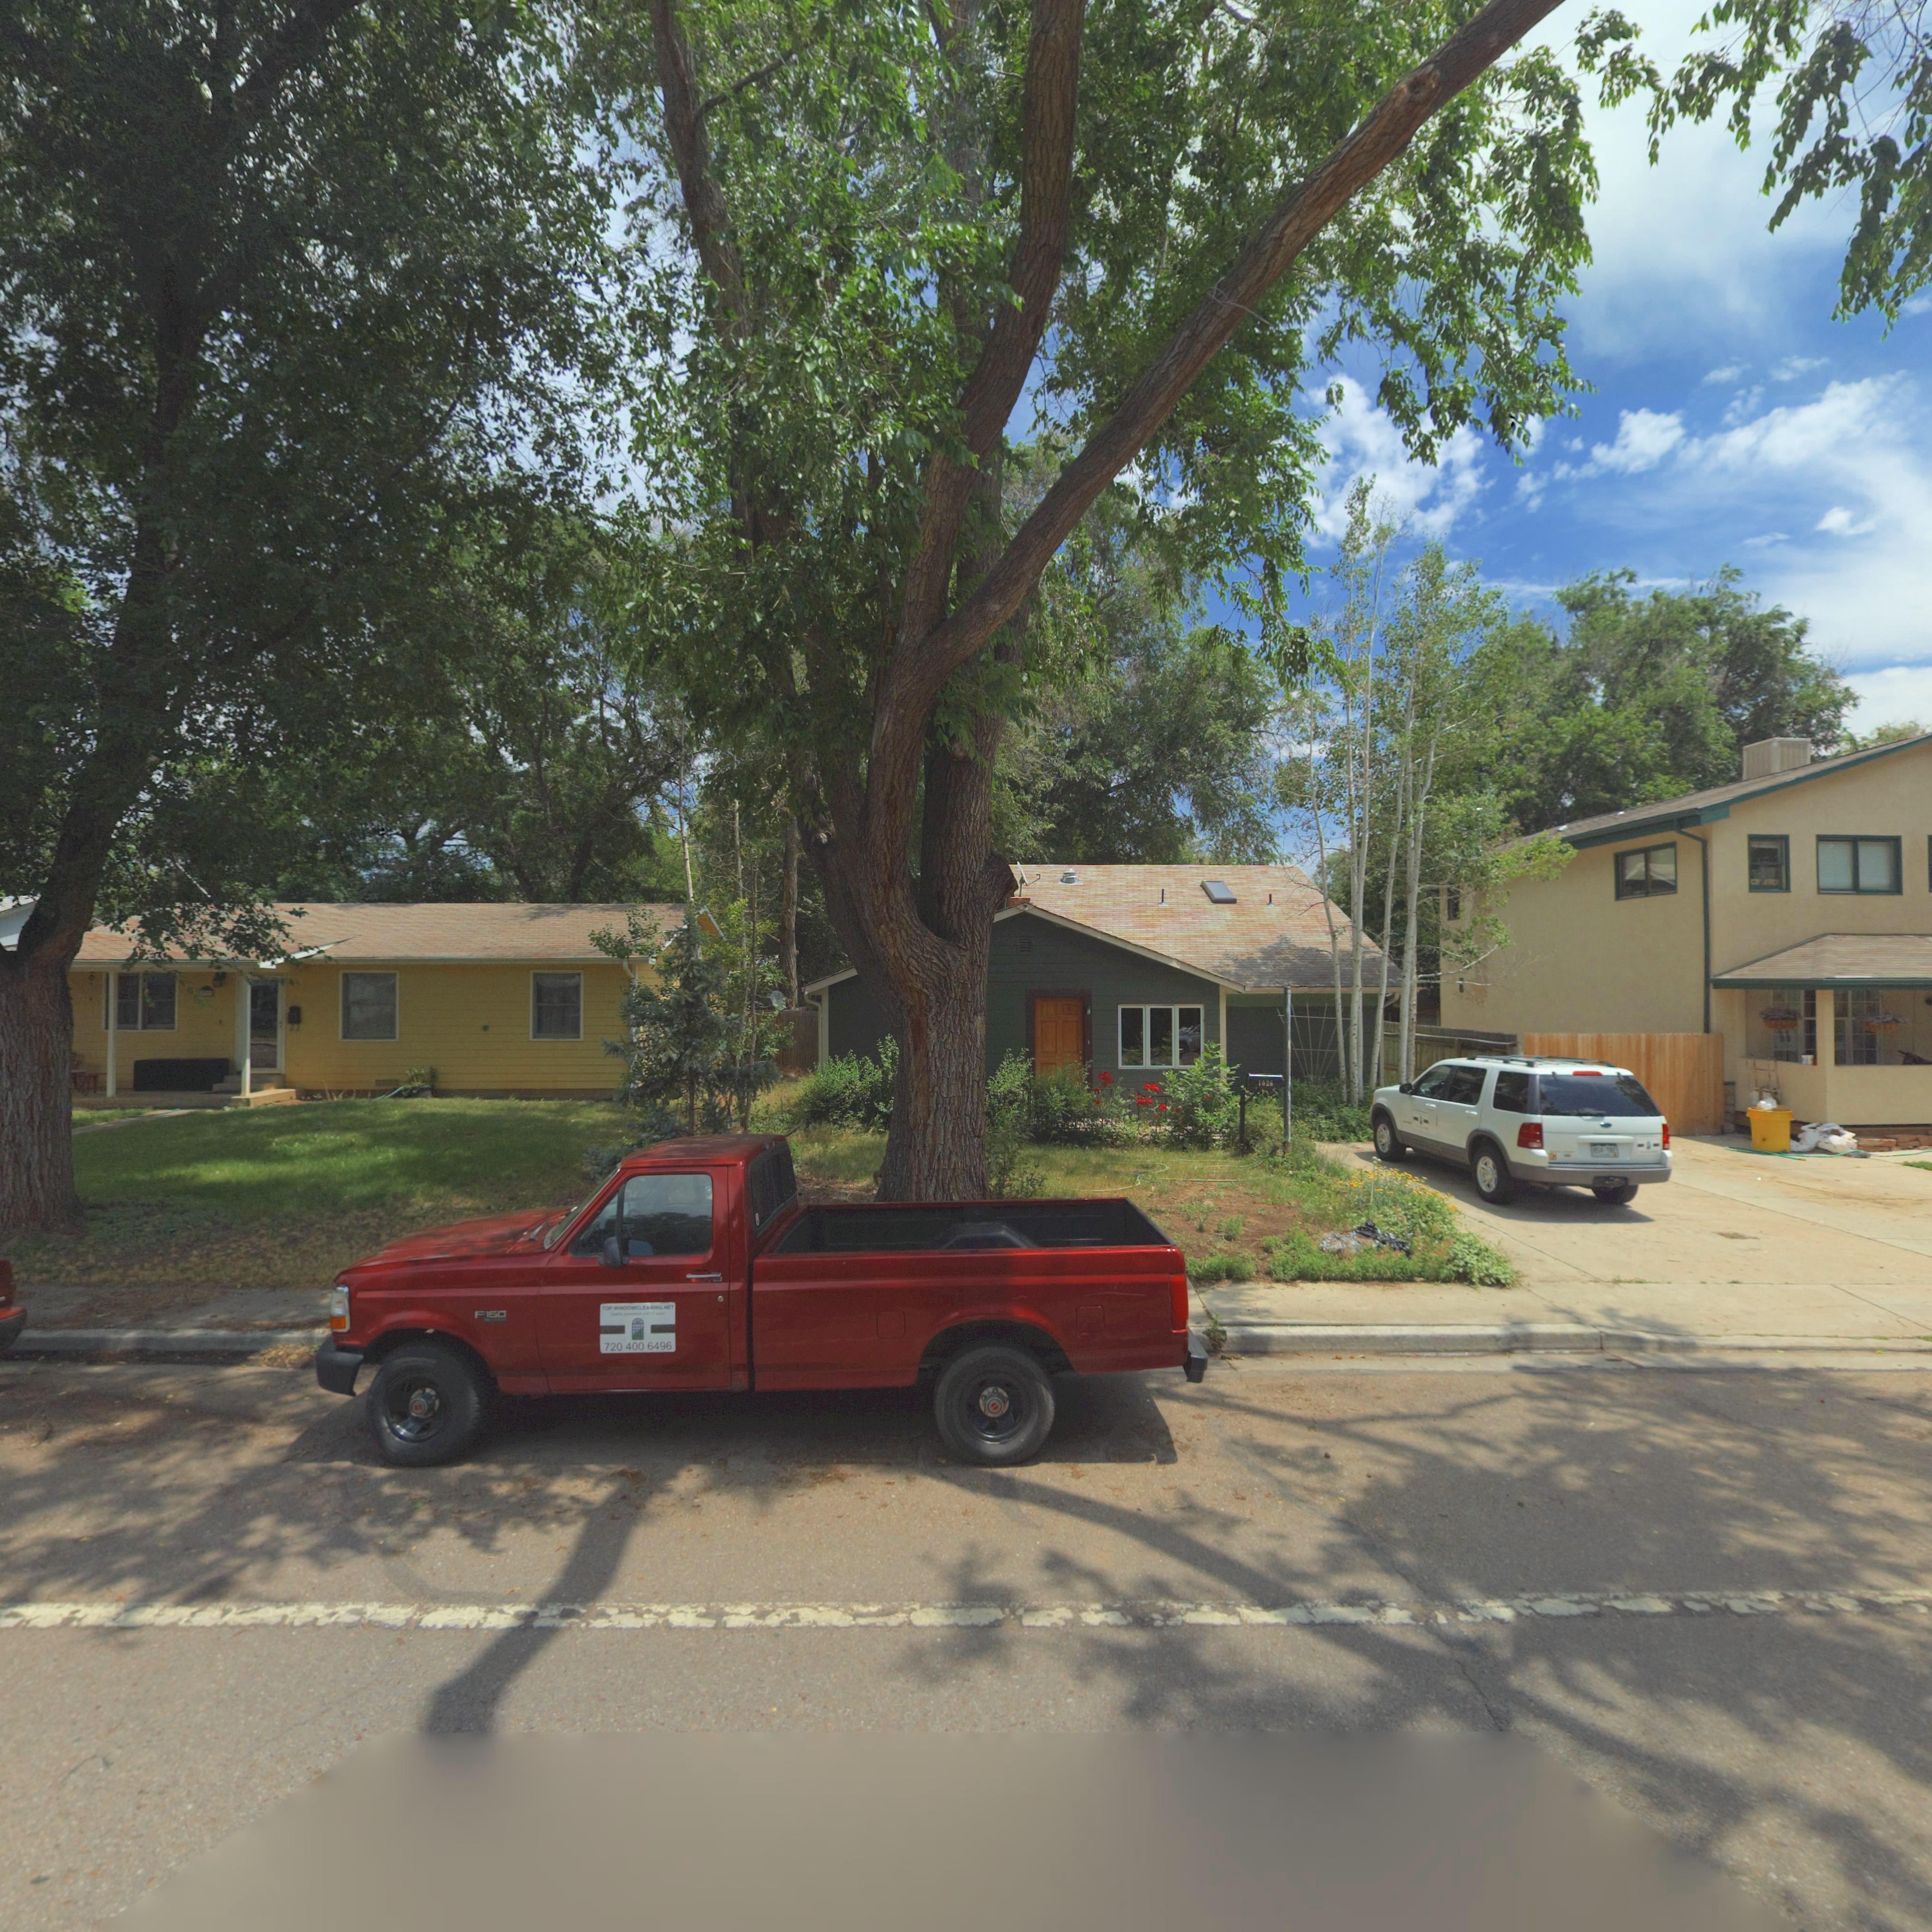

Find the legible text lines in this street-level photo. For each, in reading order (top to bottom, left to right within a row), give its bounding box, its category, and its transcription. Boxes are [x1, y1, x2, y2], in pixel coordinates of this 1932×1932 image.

[1258, 1079, 1273, 1086] StreetNumber: 1*2*